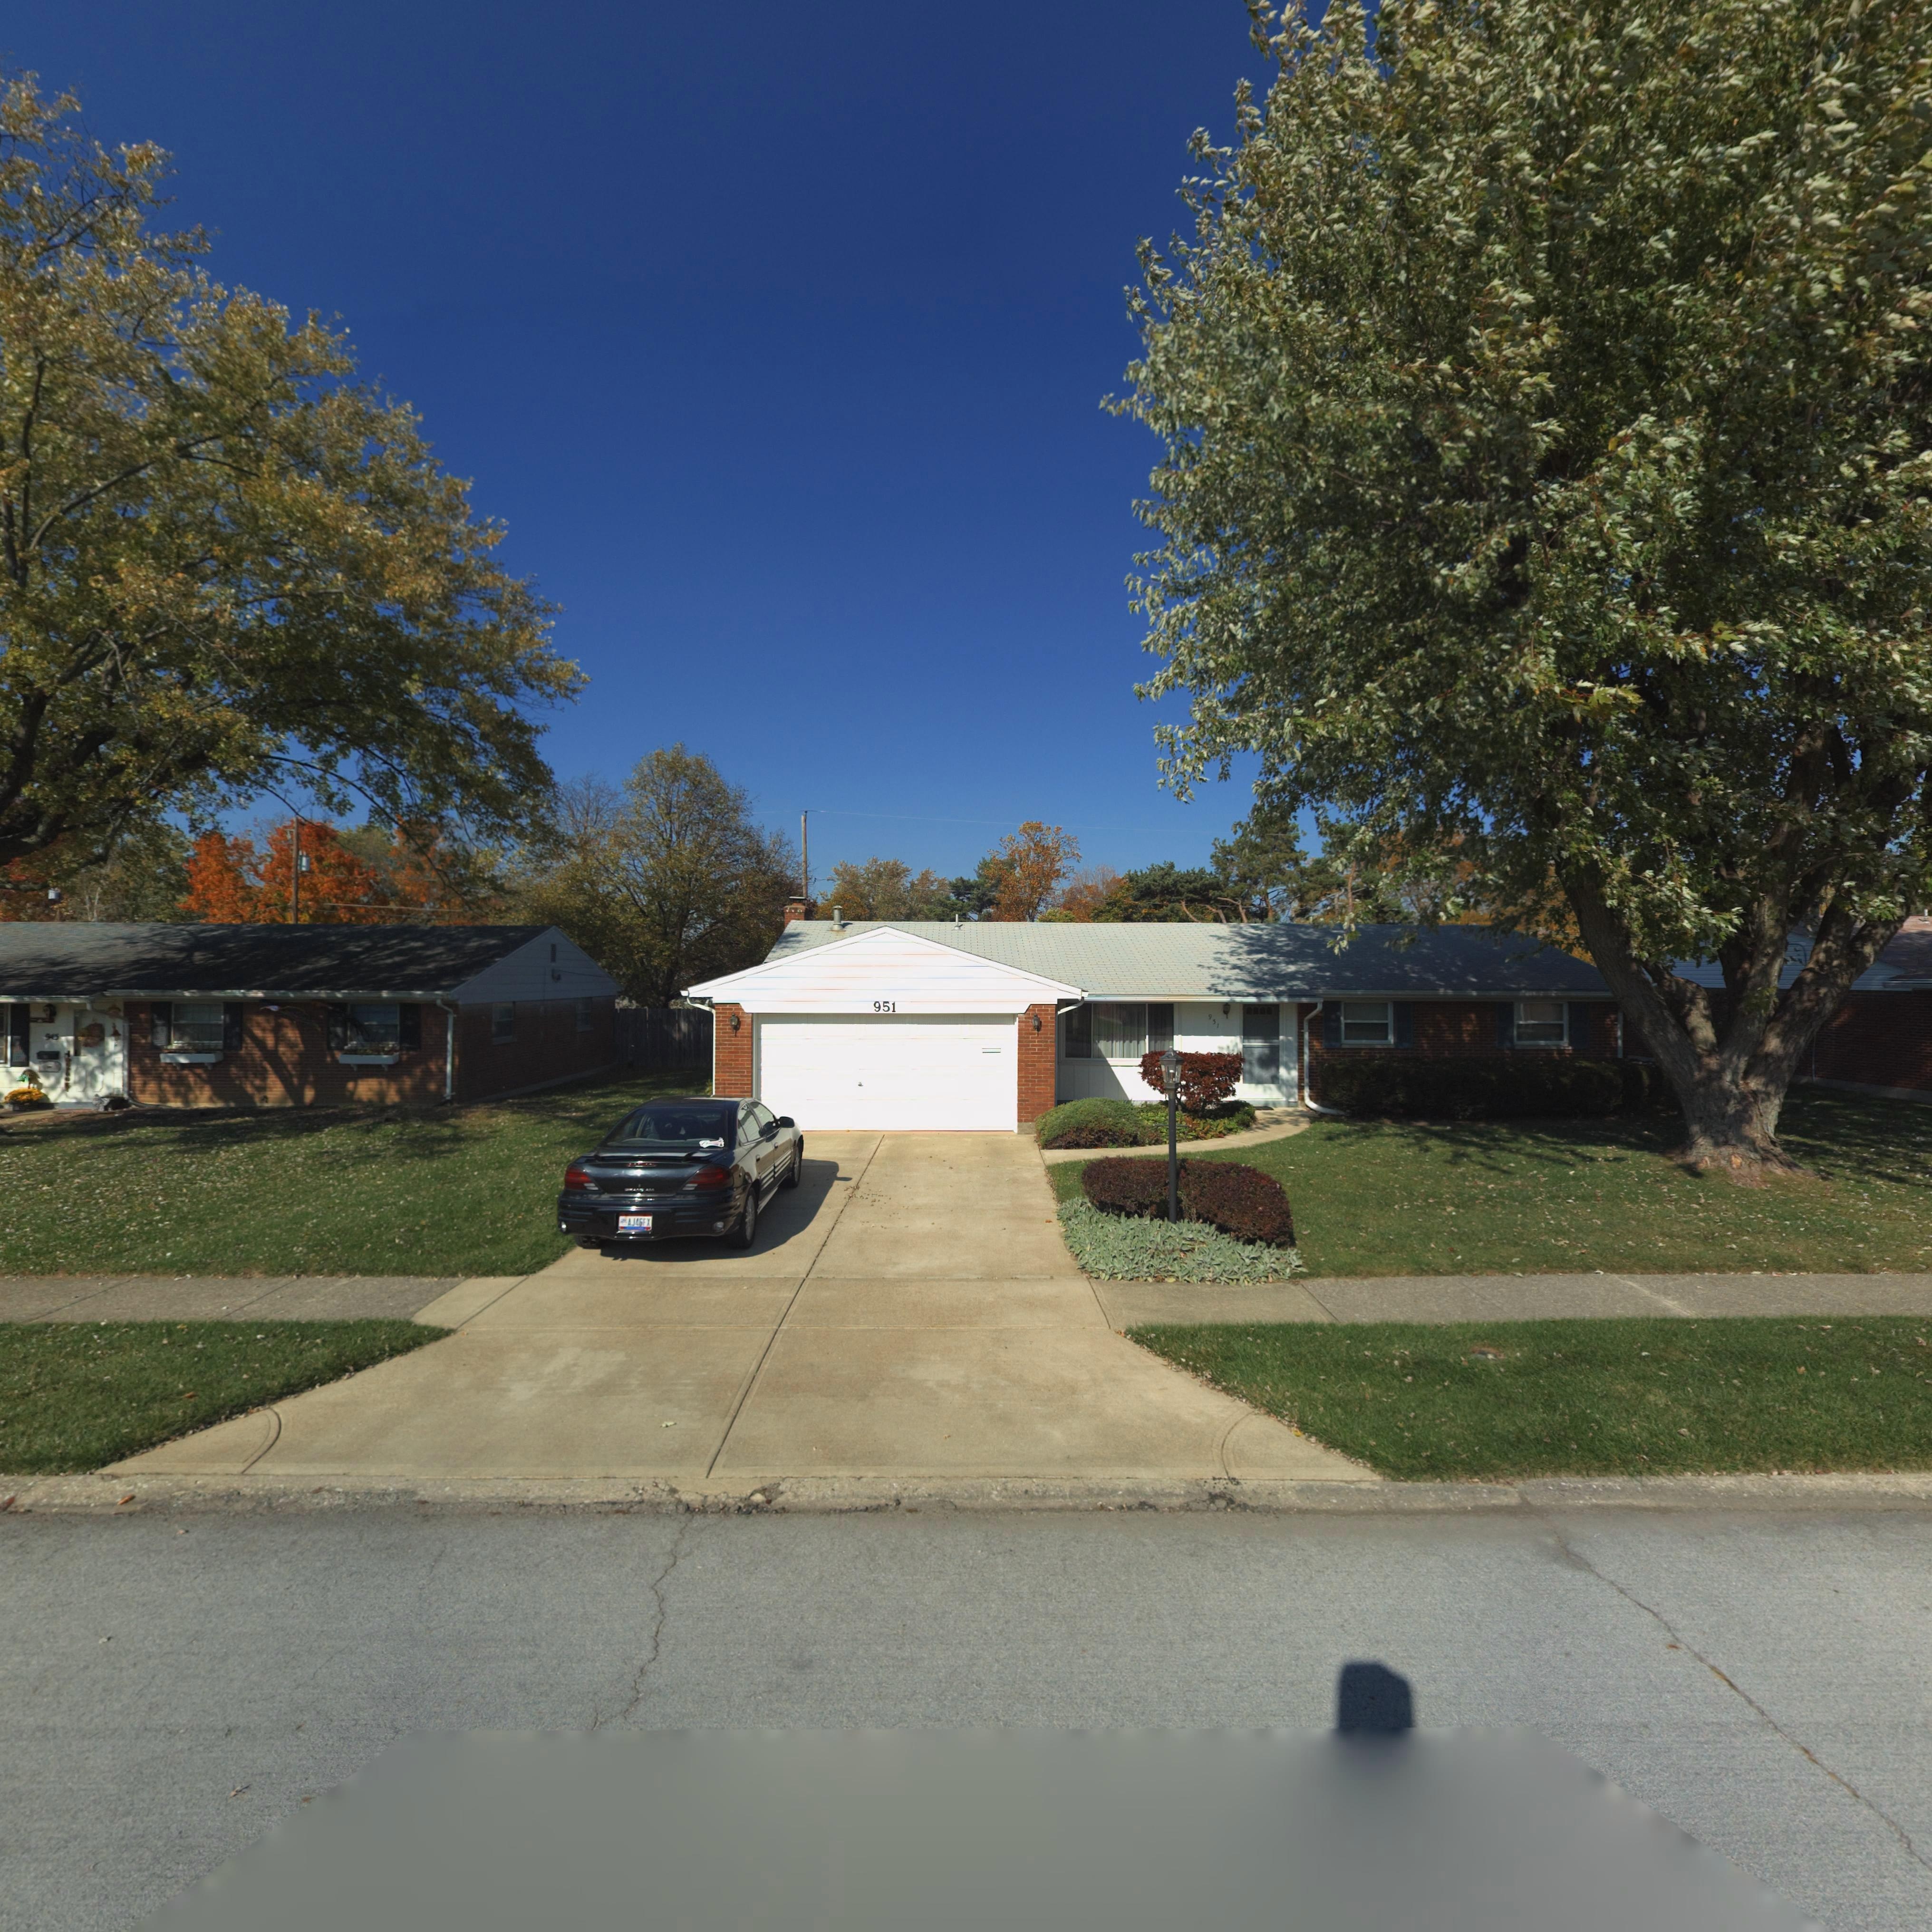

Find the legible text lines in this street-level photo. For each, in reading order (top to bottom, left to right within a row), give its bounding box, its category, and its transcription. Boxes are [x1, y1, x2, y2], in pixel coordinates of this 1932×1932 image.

[872, 999, 897, 1014] StreetNumber: 951
[1207, 1013, 1220, 1029] StreetNumber: 951
[44, 1032, 60, 1041] StreetNumber: 945
[626, 1217, 652, 1227] None: AJ46FX